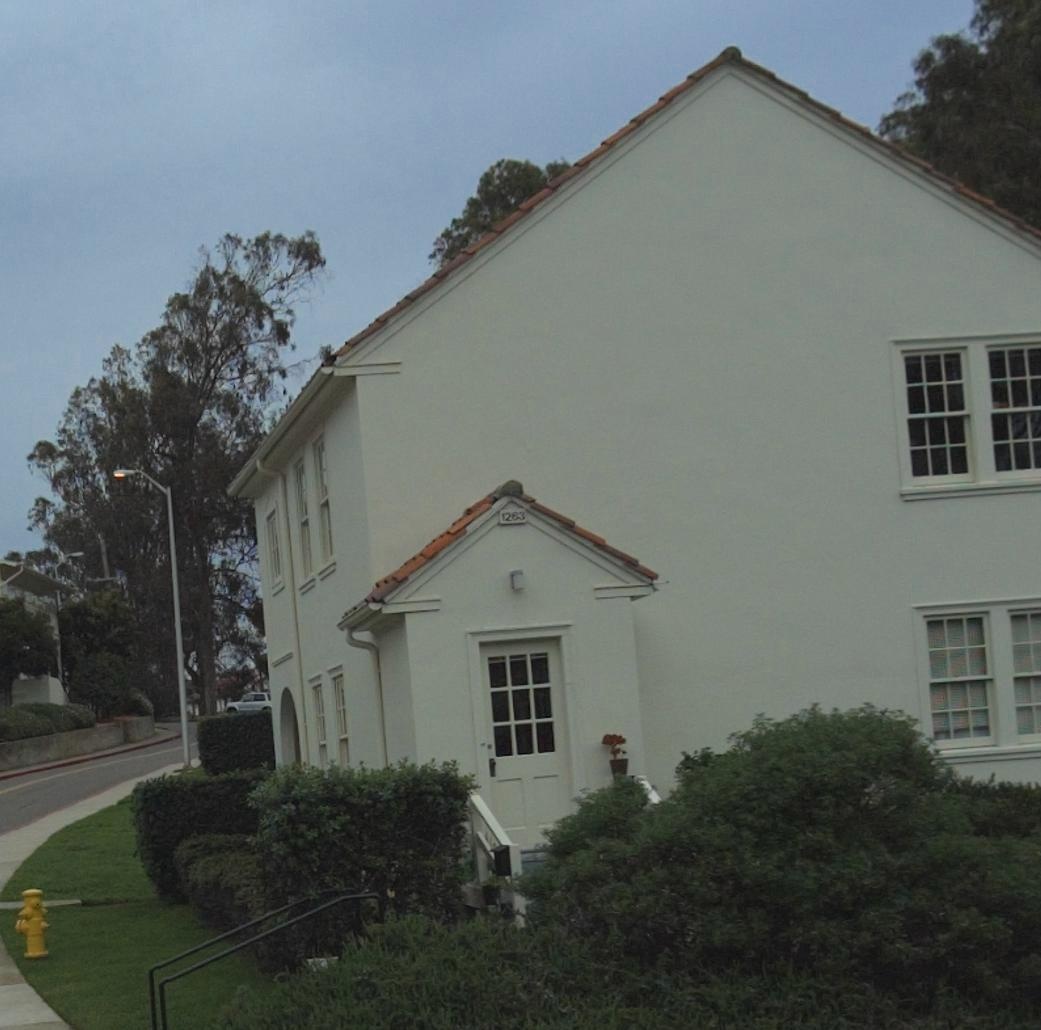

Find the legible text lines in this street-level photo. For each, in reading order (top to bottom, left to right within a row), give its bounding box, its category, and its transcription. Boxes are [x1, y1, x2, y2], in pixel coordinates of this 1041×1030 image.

[500, 511, 526, 522] StreetNumber: 1263